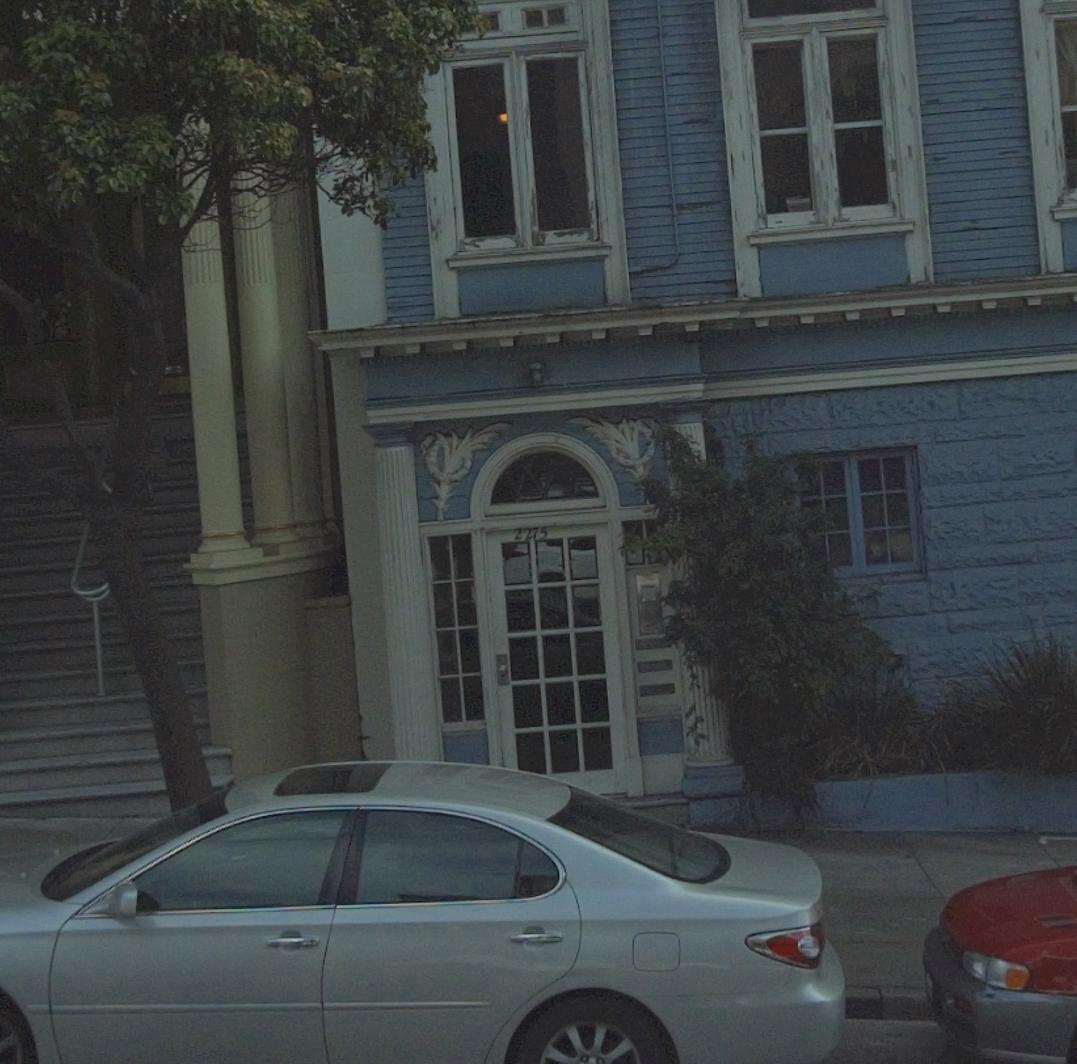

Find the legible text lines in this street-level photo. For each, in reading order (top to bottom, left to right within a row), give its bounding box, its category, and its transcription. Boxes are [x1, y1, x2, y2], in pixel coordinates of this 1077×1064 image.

[511, 524, 551, 543] StreetNumber: 2275